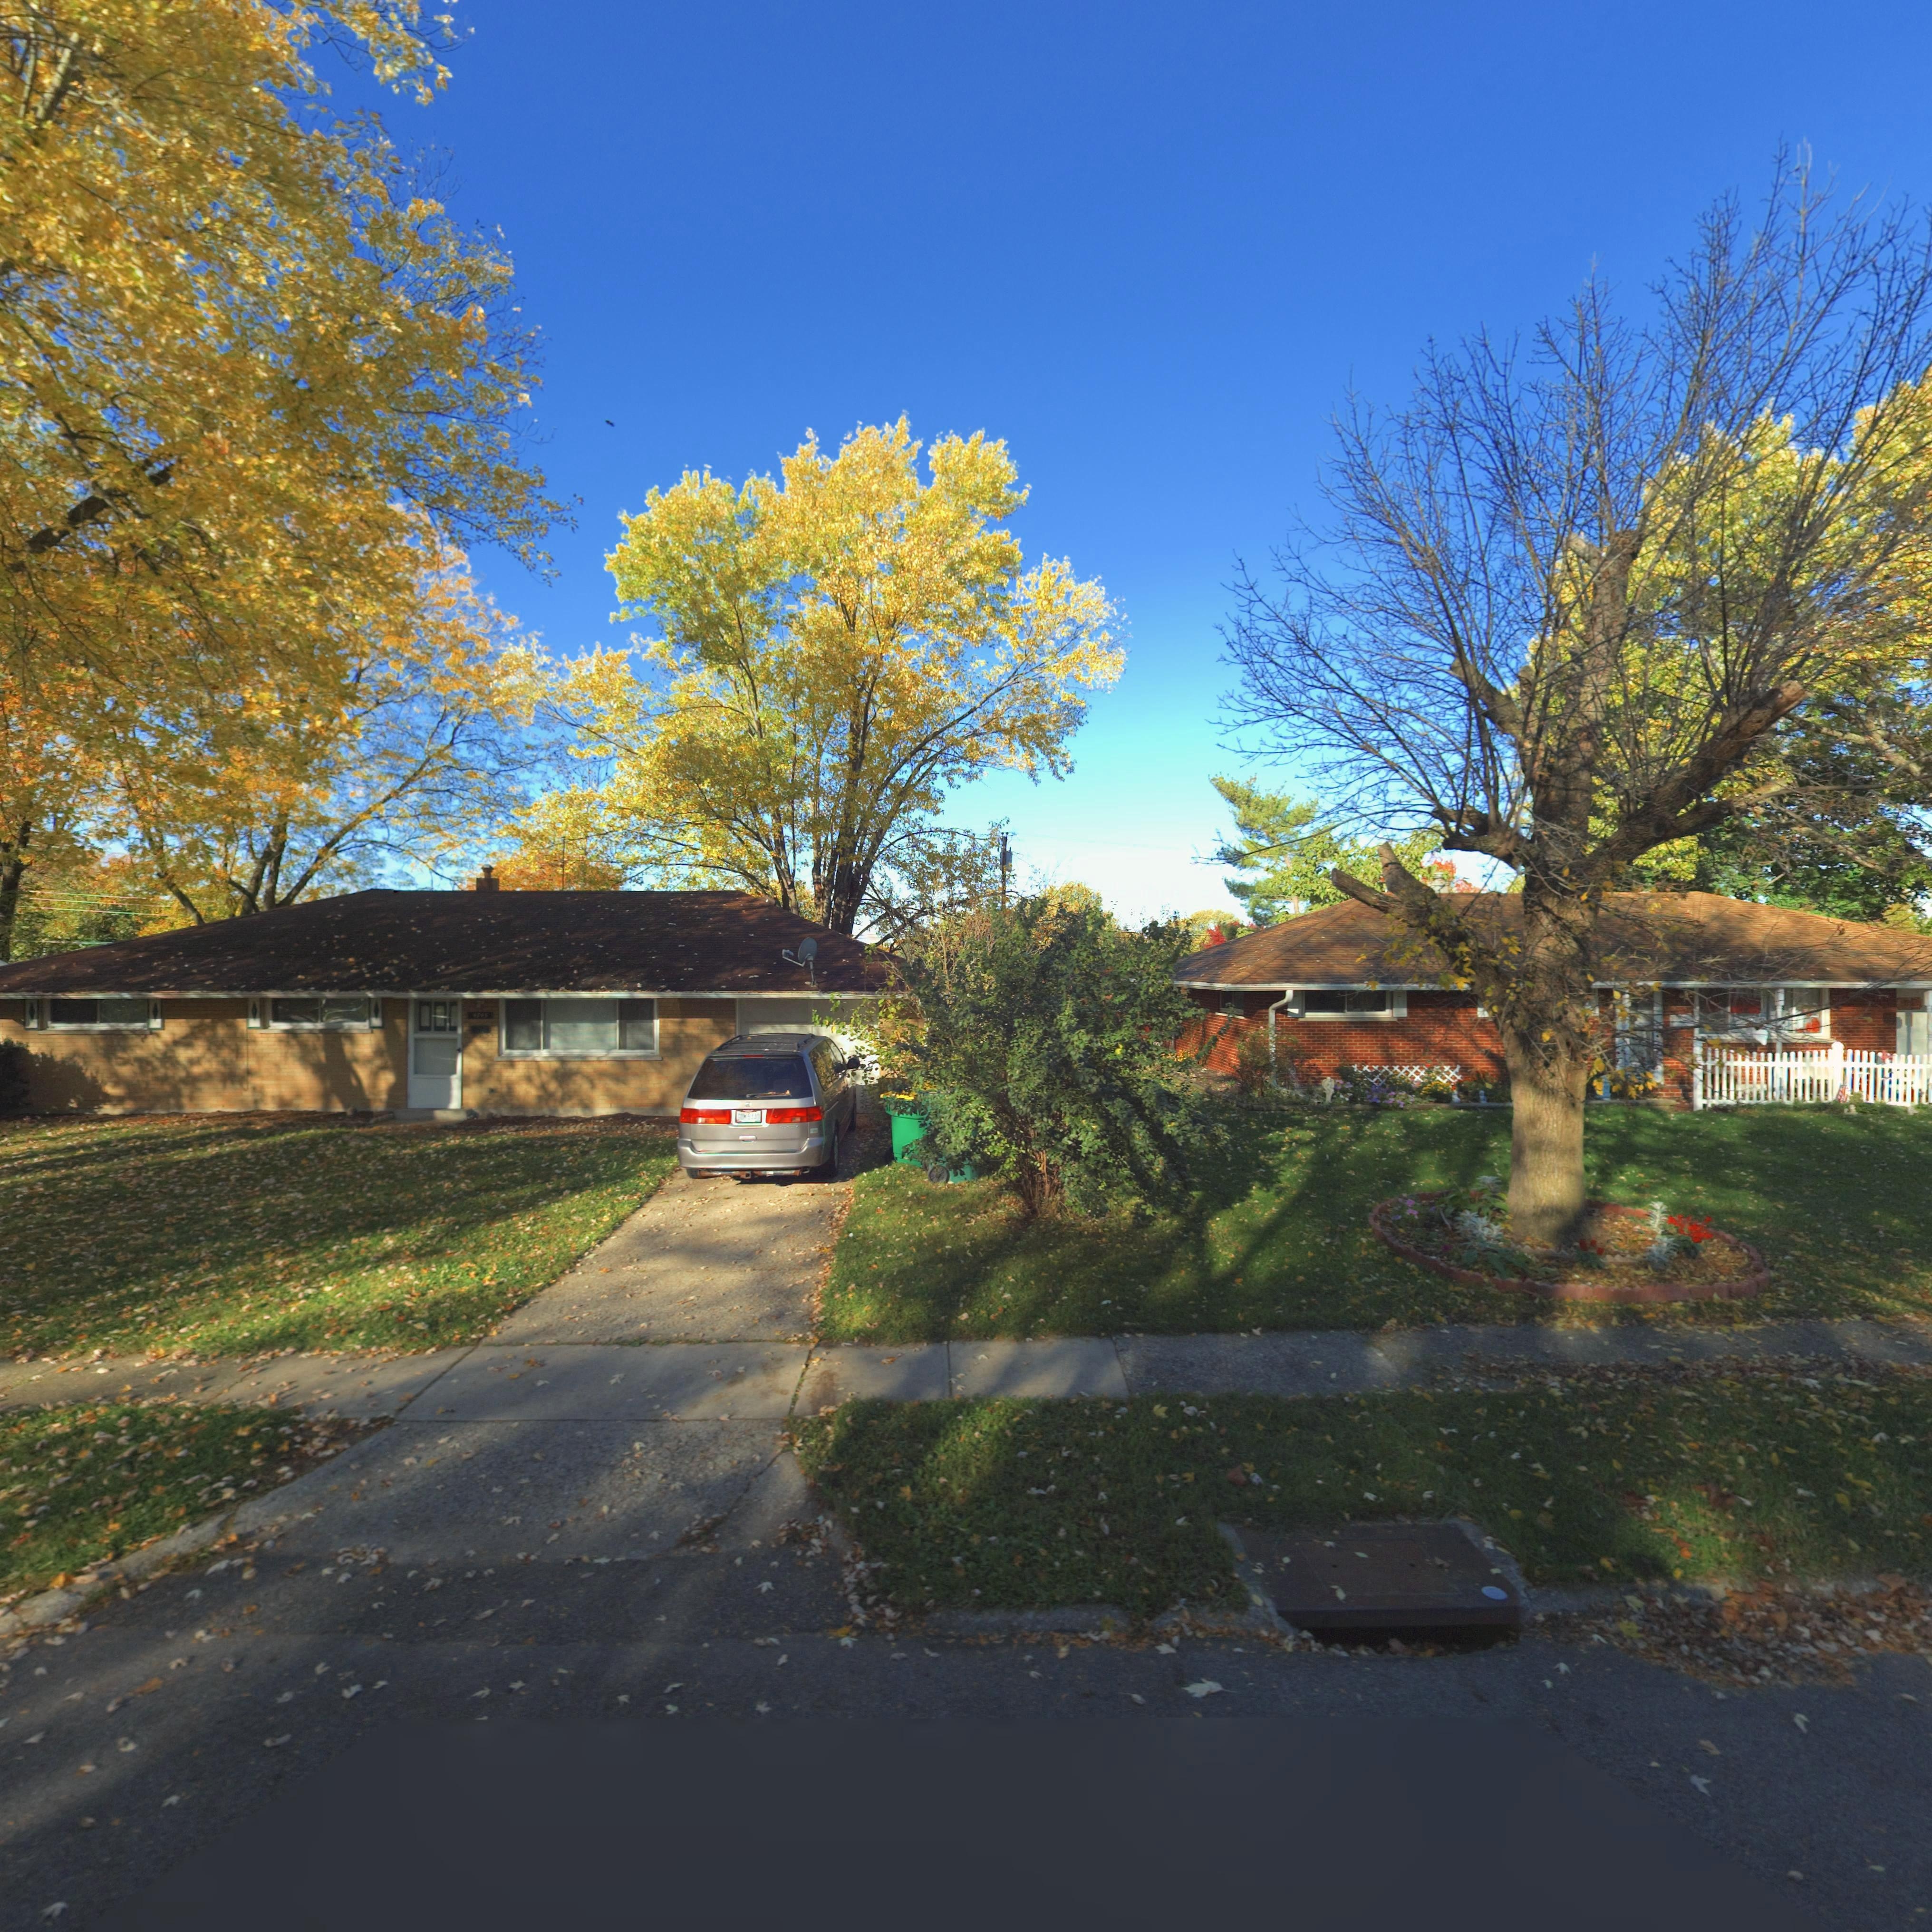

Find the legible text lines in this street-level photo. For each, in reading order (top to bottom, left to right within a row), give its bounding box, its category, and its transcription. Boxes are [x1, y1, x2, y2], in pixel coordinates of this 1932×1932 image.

[471, 1012, 488, 1018] StreetNumber: 4745